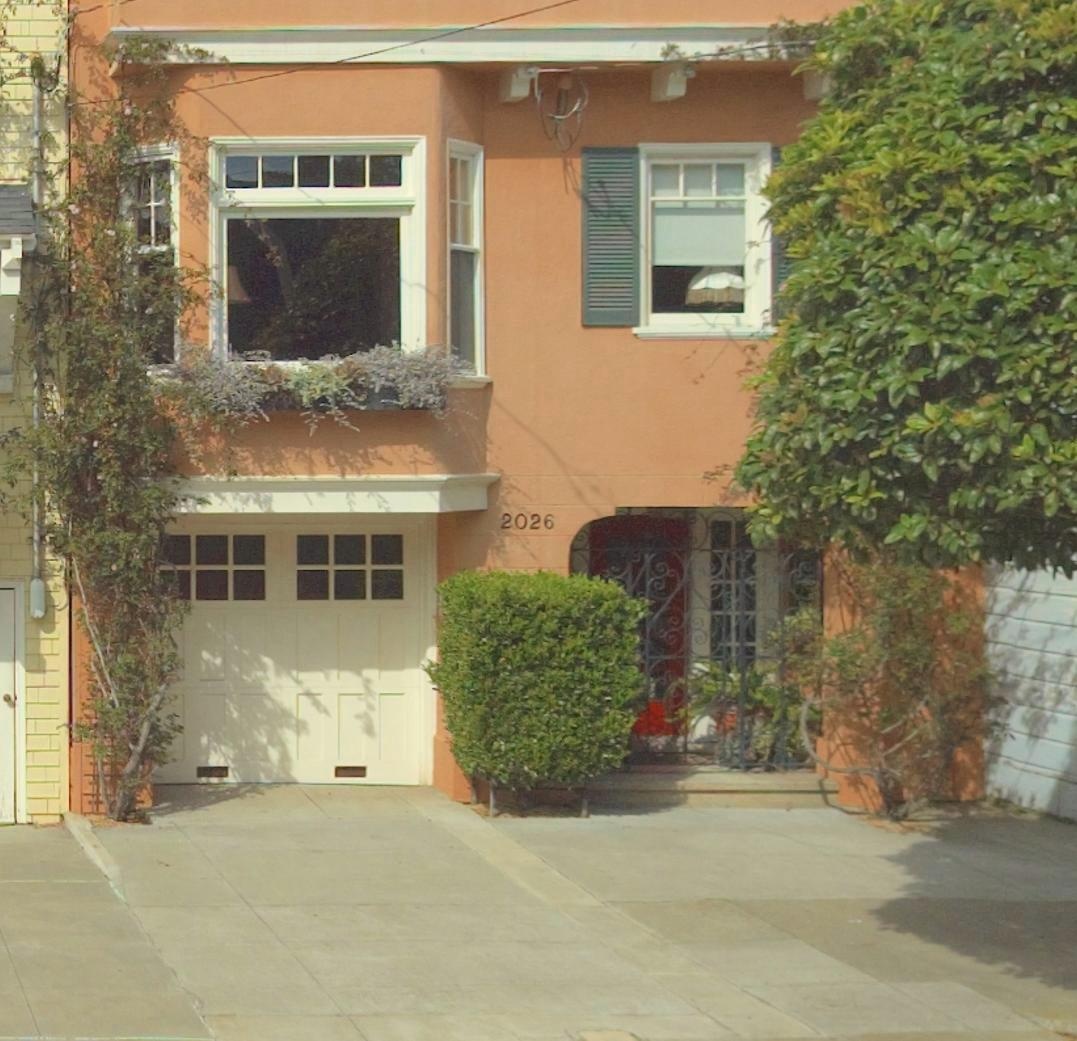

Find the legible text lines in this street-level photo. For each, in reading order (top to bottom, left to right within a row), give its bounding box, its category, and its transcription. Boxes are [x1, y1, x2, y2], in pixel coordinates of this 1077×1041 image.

[498, 511, 556, 532] StreetNumber: 2026